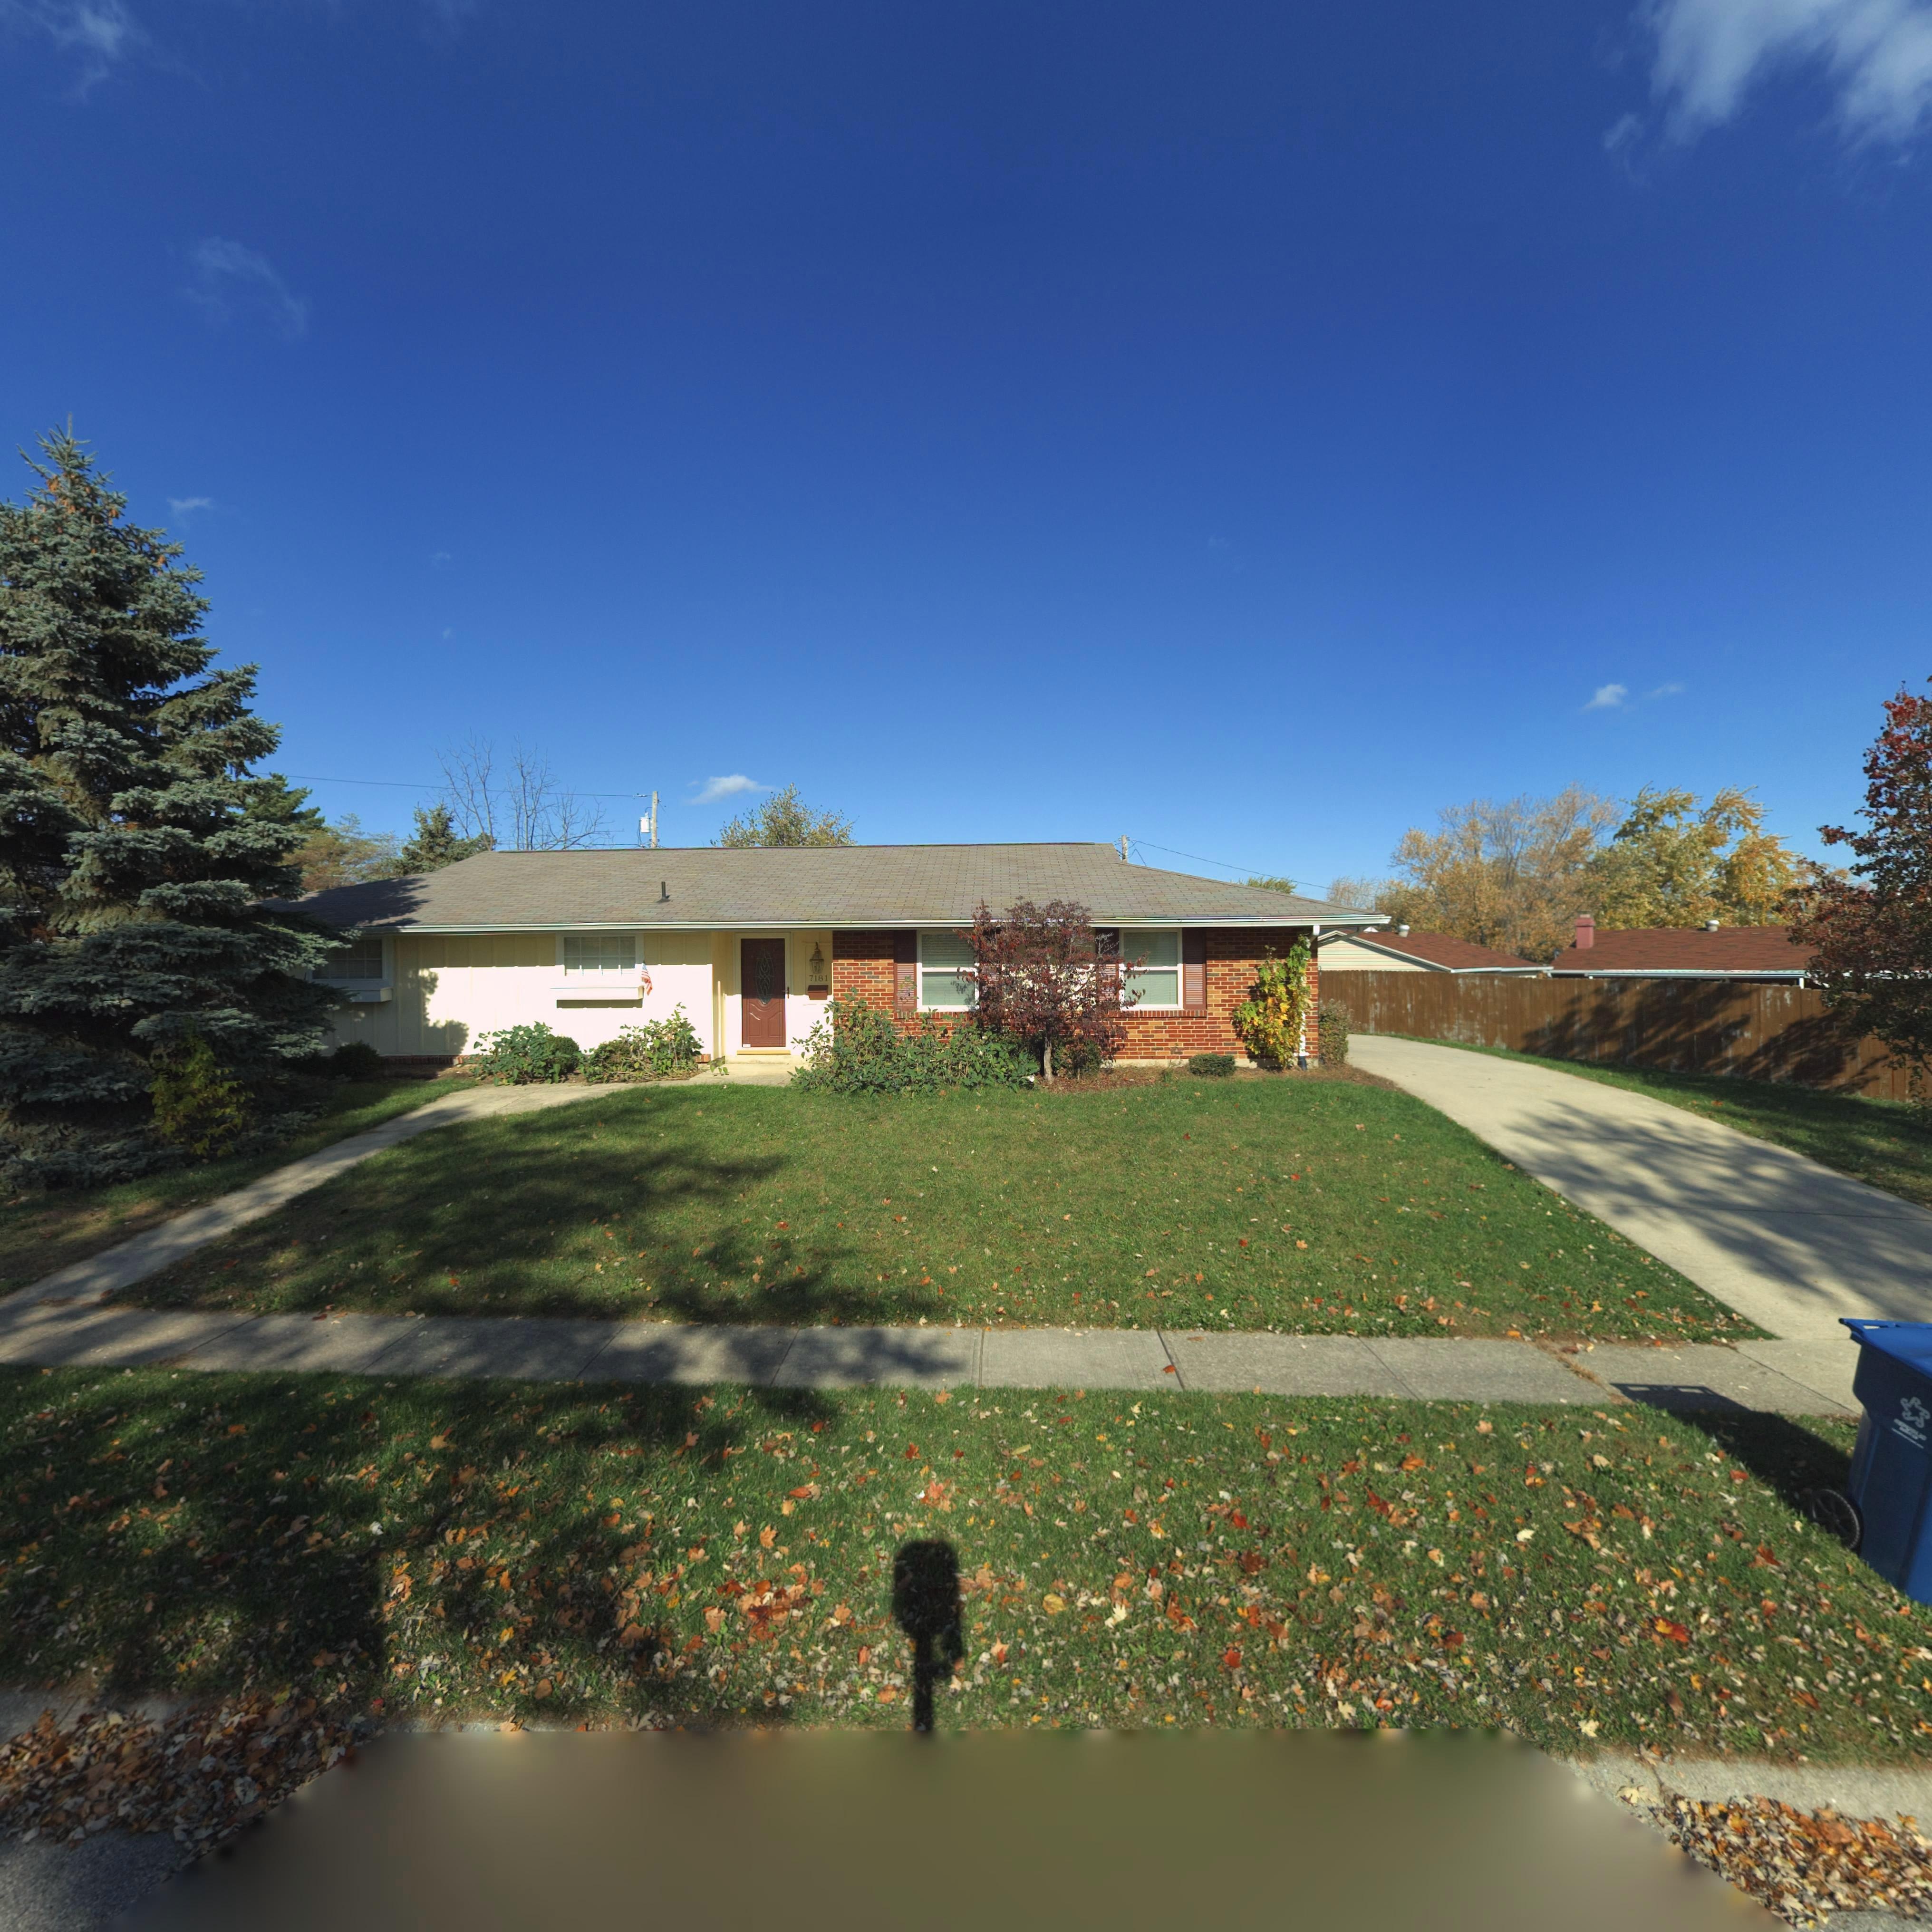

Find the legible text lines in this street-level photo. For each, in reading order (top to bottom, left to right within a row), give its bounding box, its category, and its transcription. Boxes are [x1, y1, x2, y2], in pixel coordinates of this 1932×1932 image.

[808, 974, 829, 983] StreetNumber: 7181